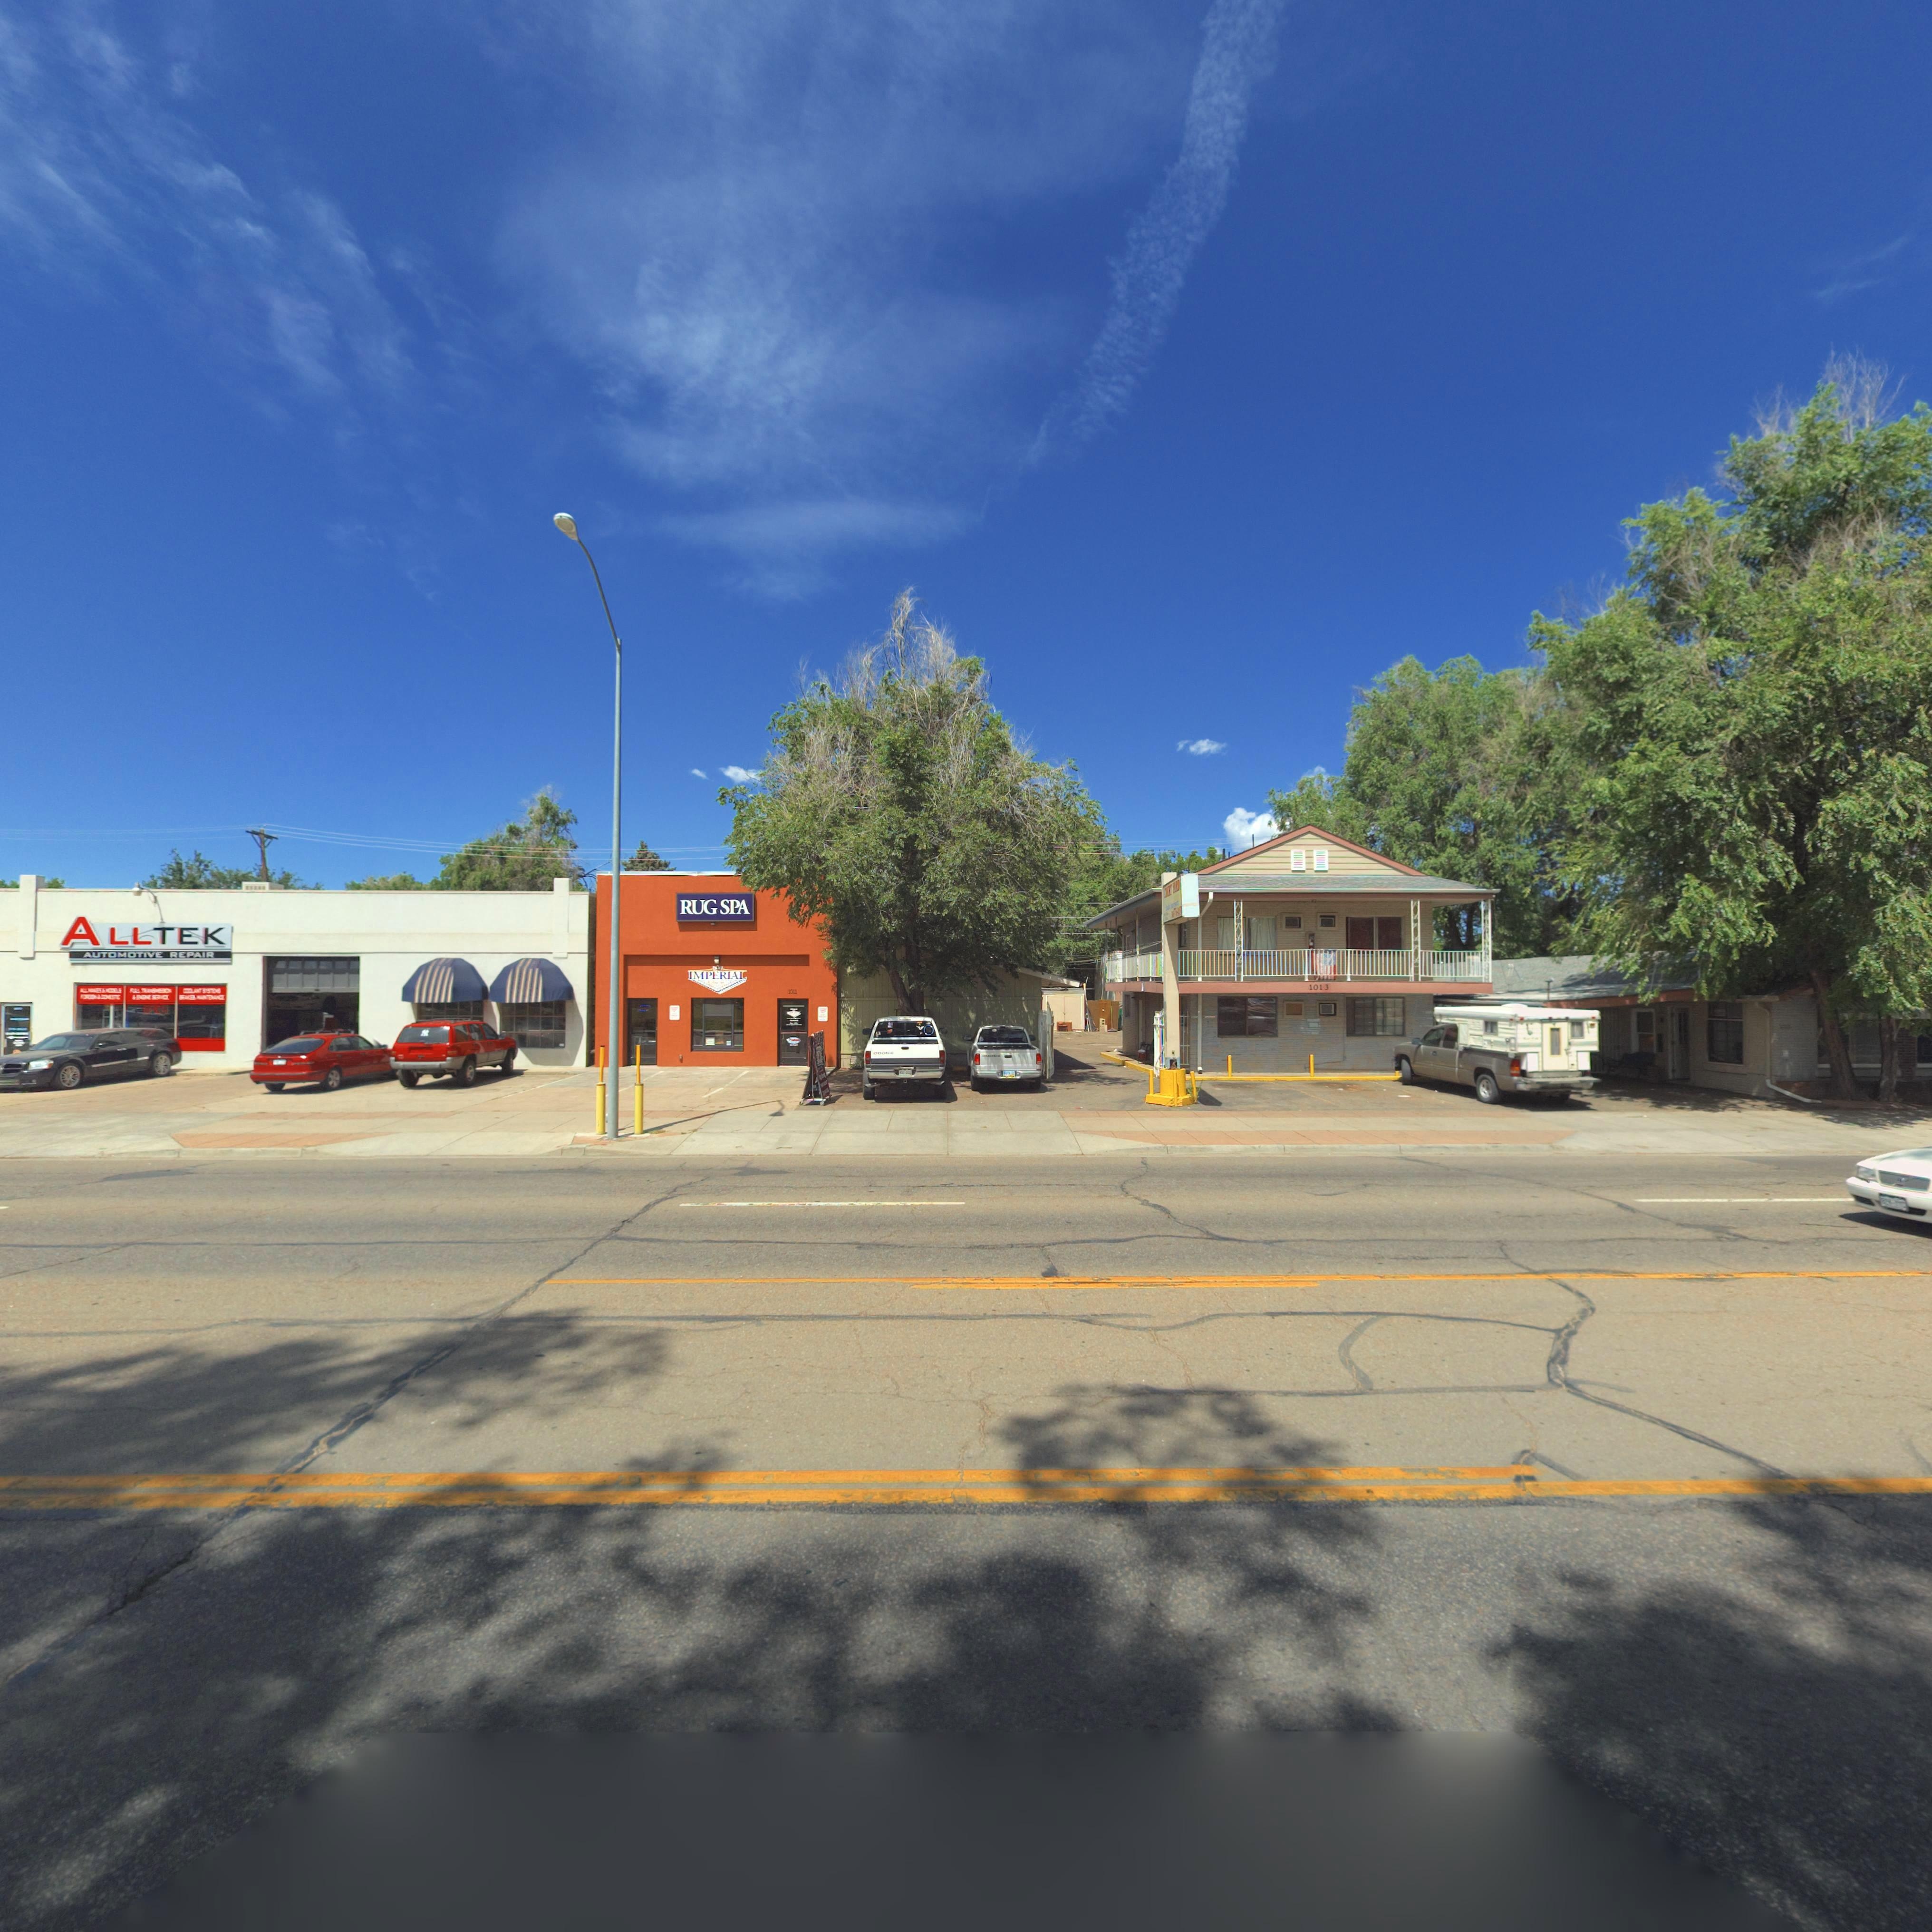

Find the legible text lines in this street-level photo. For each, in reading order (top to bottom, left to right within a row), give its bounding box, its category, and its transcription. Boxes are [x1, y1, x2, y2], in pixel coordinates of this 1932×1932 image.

[1164, 879, 1180, 898] BusinessName: C**** ***D
[679, 898, 751, 915] BusinessName: RUG SPA
[59, 915, 226, 946] BusinessName: ALLTEK
[82, 951, 214, 958] BusinessName: AUTOMOTIVE REPAIR
[788, 988, 797, 995] StreetNumber: 1011
[1309, 984, 1329, 991] StreetNumber: 1013